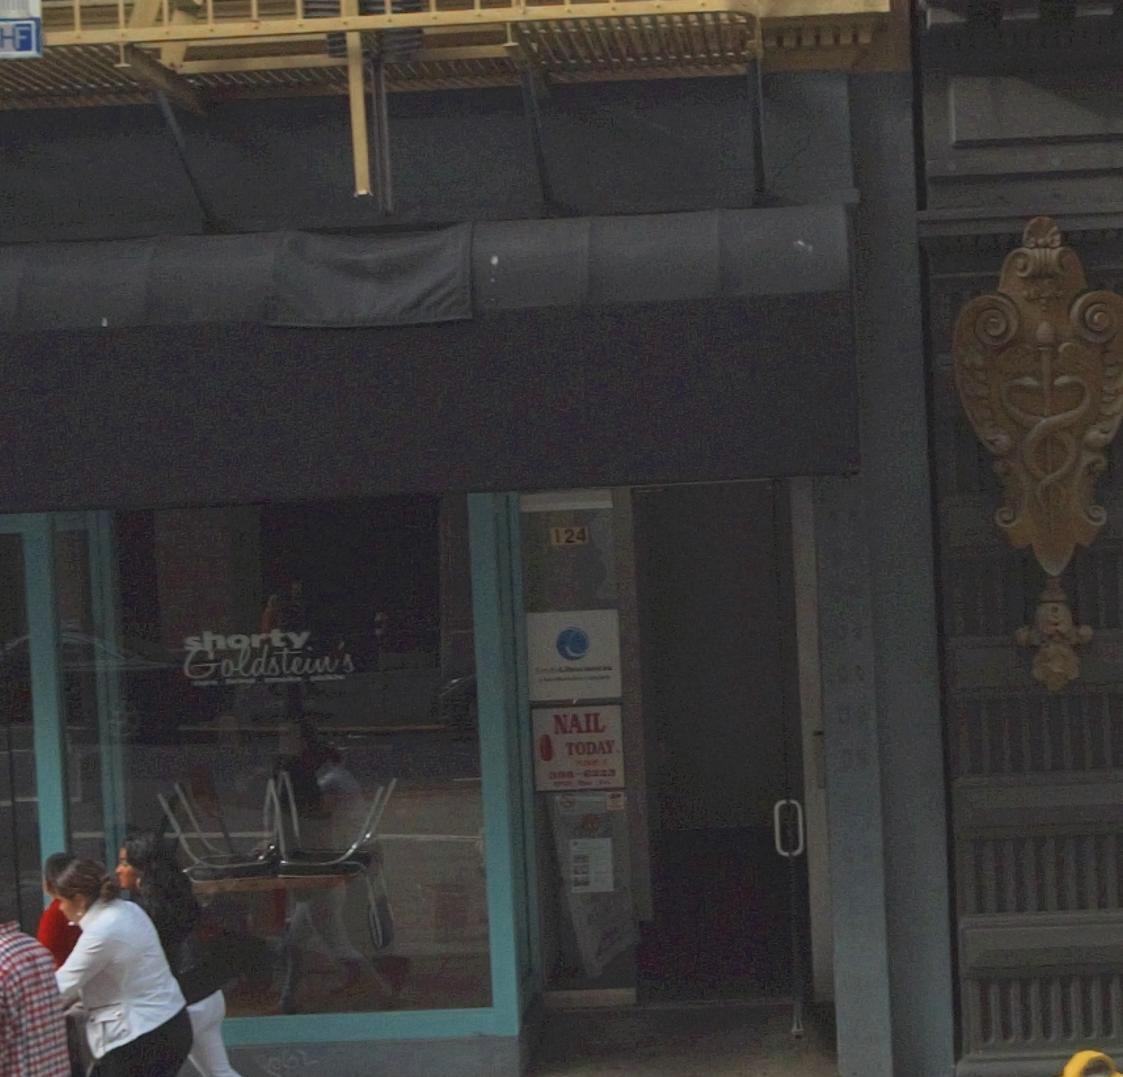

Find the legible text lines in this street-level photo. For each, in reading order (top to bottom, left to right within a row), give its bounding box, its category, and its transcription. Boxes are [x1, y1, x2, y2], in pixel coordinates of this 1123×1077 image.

[13, 25, 31, 50] None: F
[553, 526, 587, 545] StreetNumber: 124
[181, 627, 314, 651] BusinessName: shorty
[182, 646, 356, 682] BusinessName: Goldsteins
[551, 711, 609, 735] None: NAIL
[563, 739, 617, 757] None: TODAY